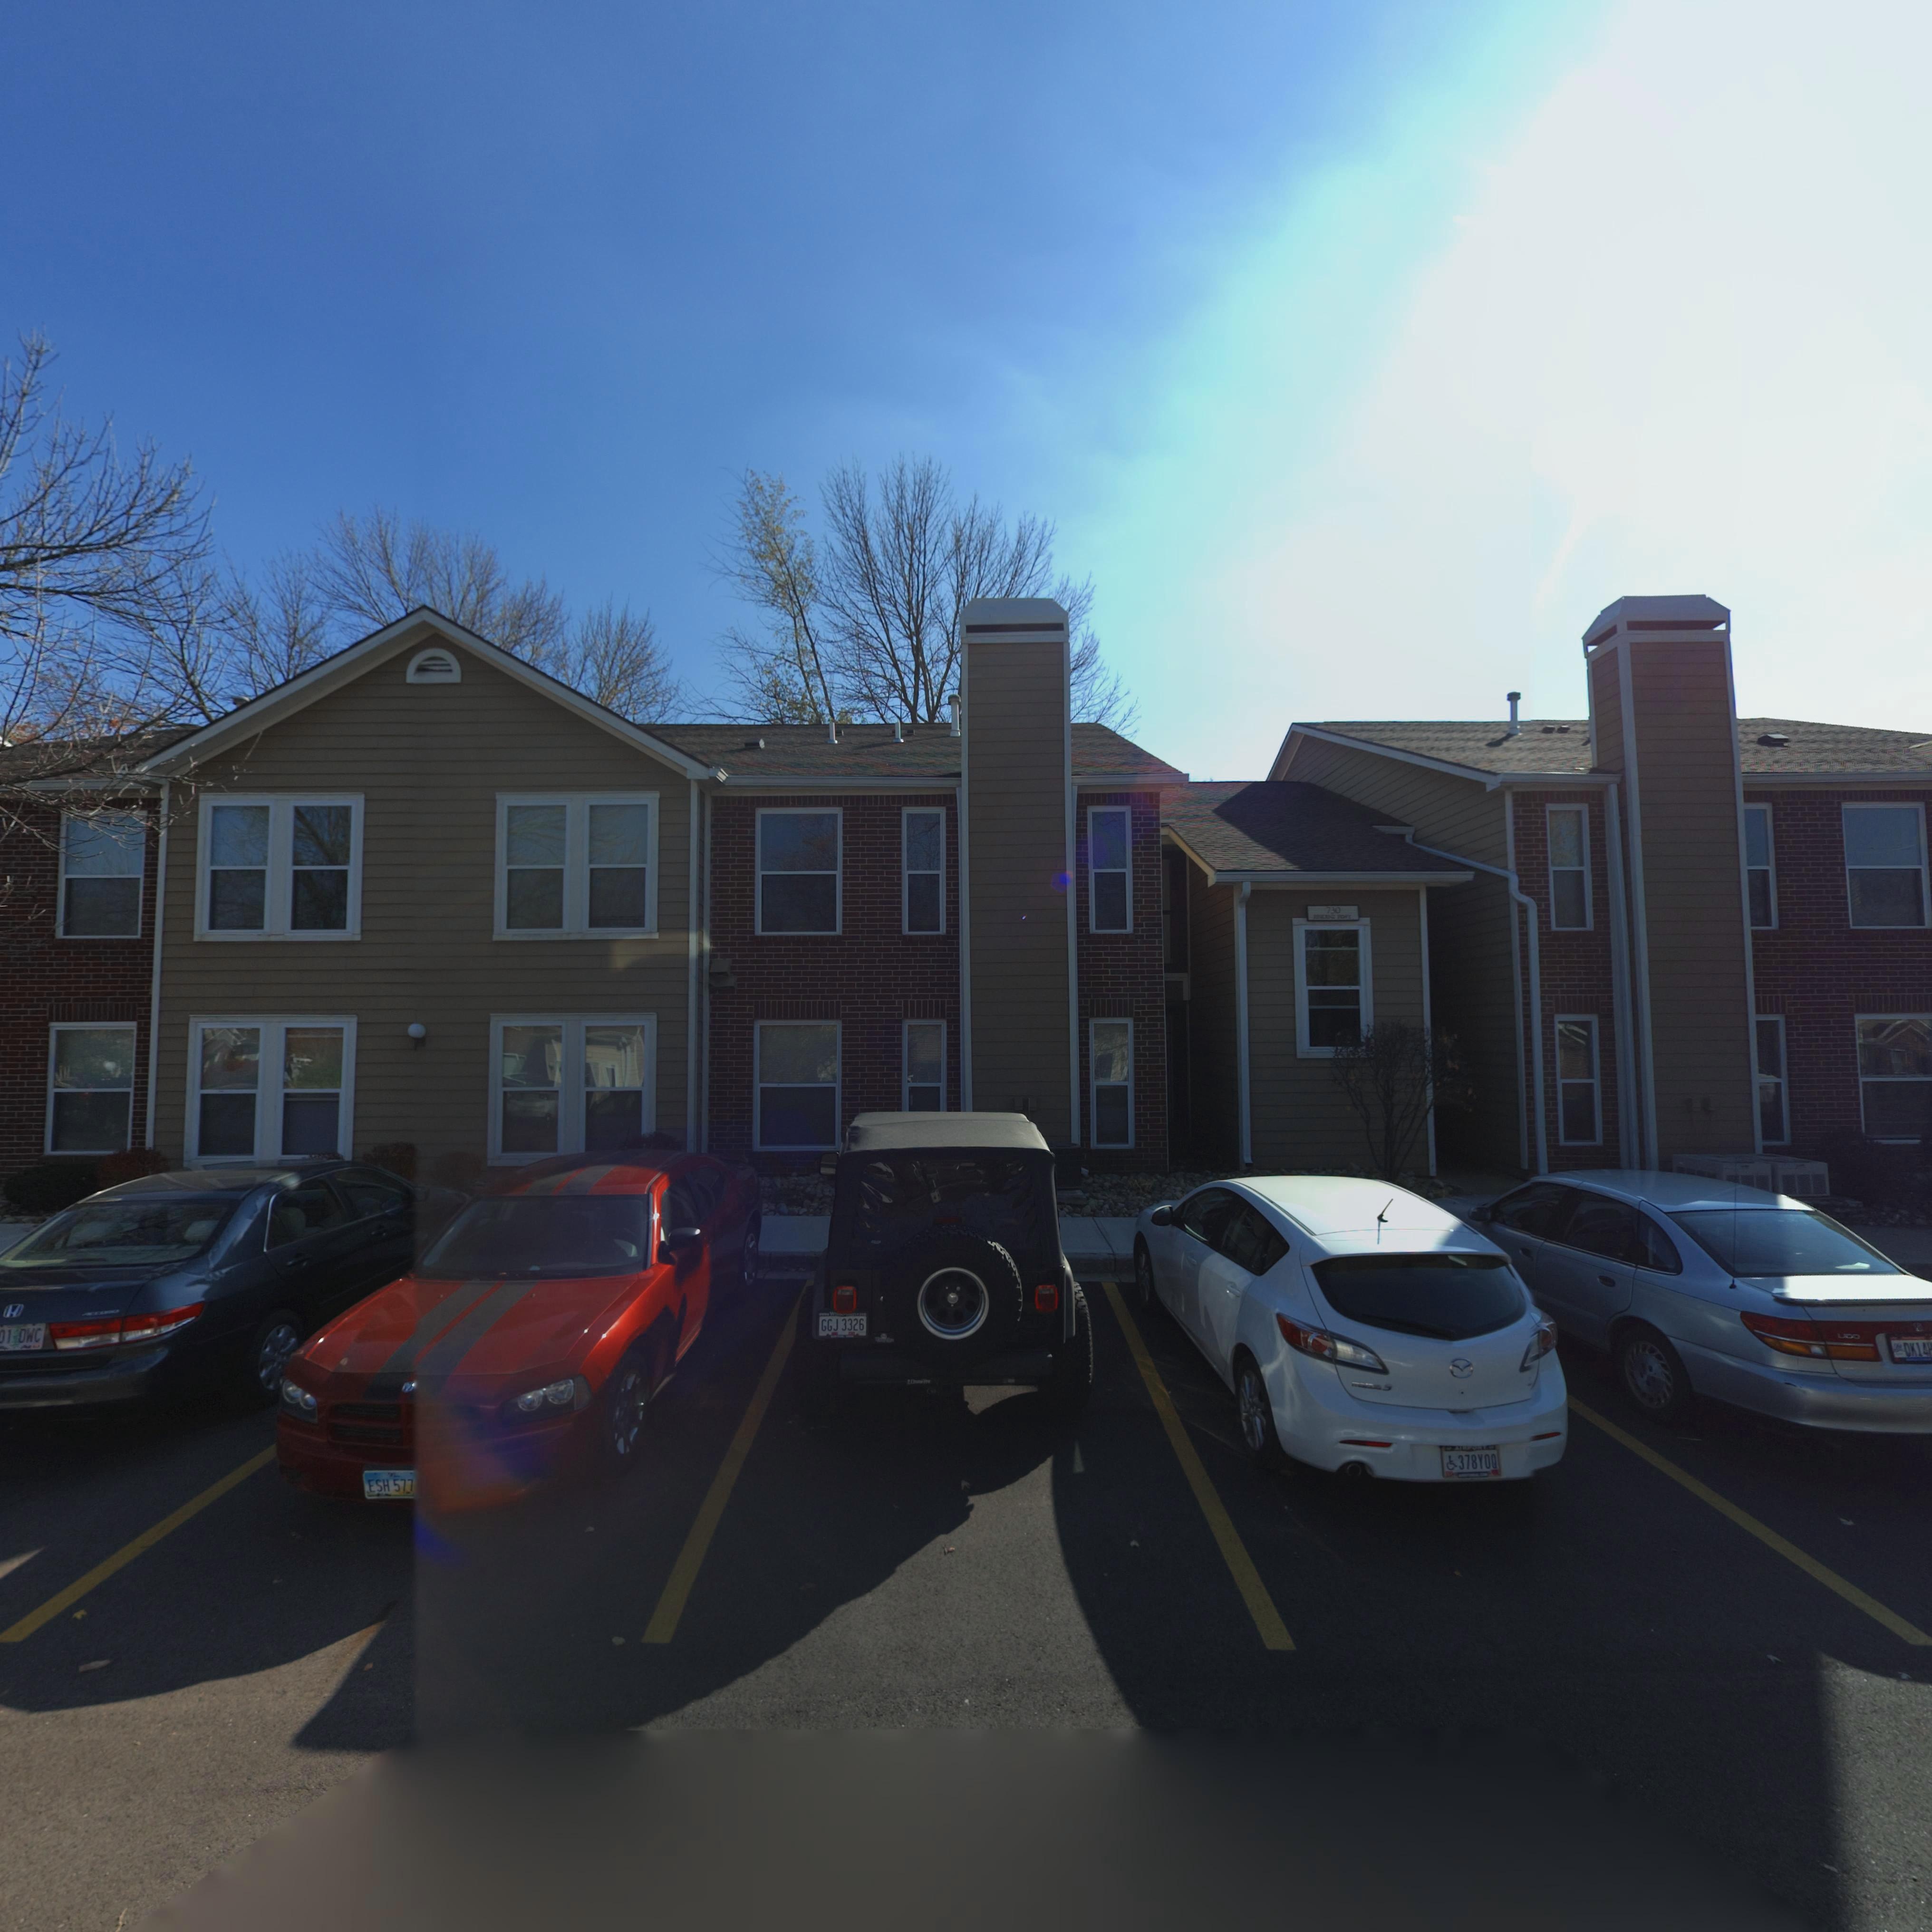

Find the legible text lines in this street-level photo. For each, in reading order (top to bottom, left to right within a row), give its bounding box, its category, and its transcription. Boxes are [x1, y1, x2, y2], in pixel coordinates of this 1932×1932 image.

[1324, 906, 1342, 915] StreetNumber: 730
[821, 1317, 866, 1333] None: GGJ 3326
[5, 1326, 44, 1345] None: 1*0WC
[1902, 1341, 1931, 1358] None: DK14
[1456, 1451, 1499, 1471] None: 378YOQ
[367, 1478, 415, 1494] None: ESH 577